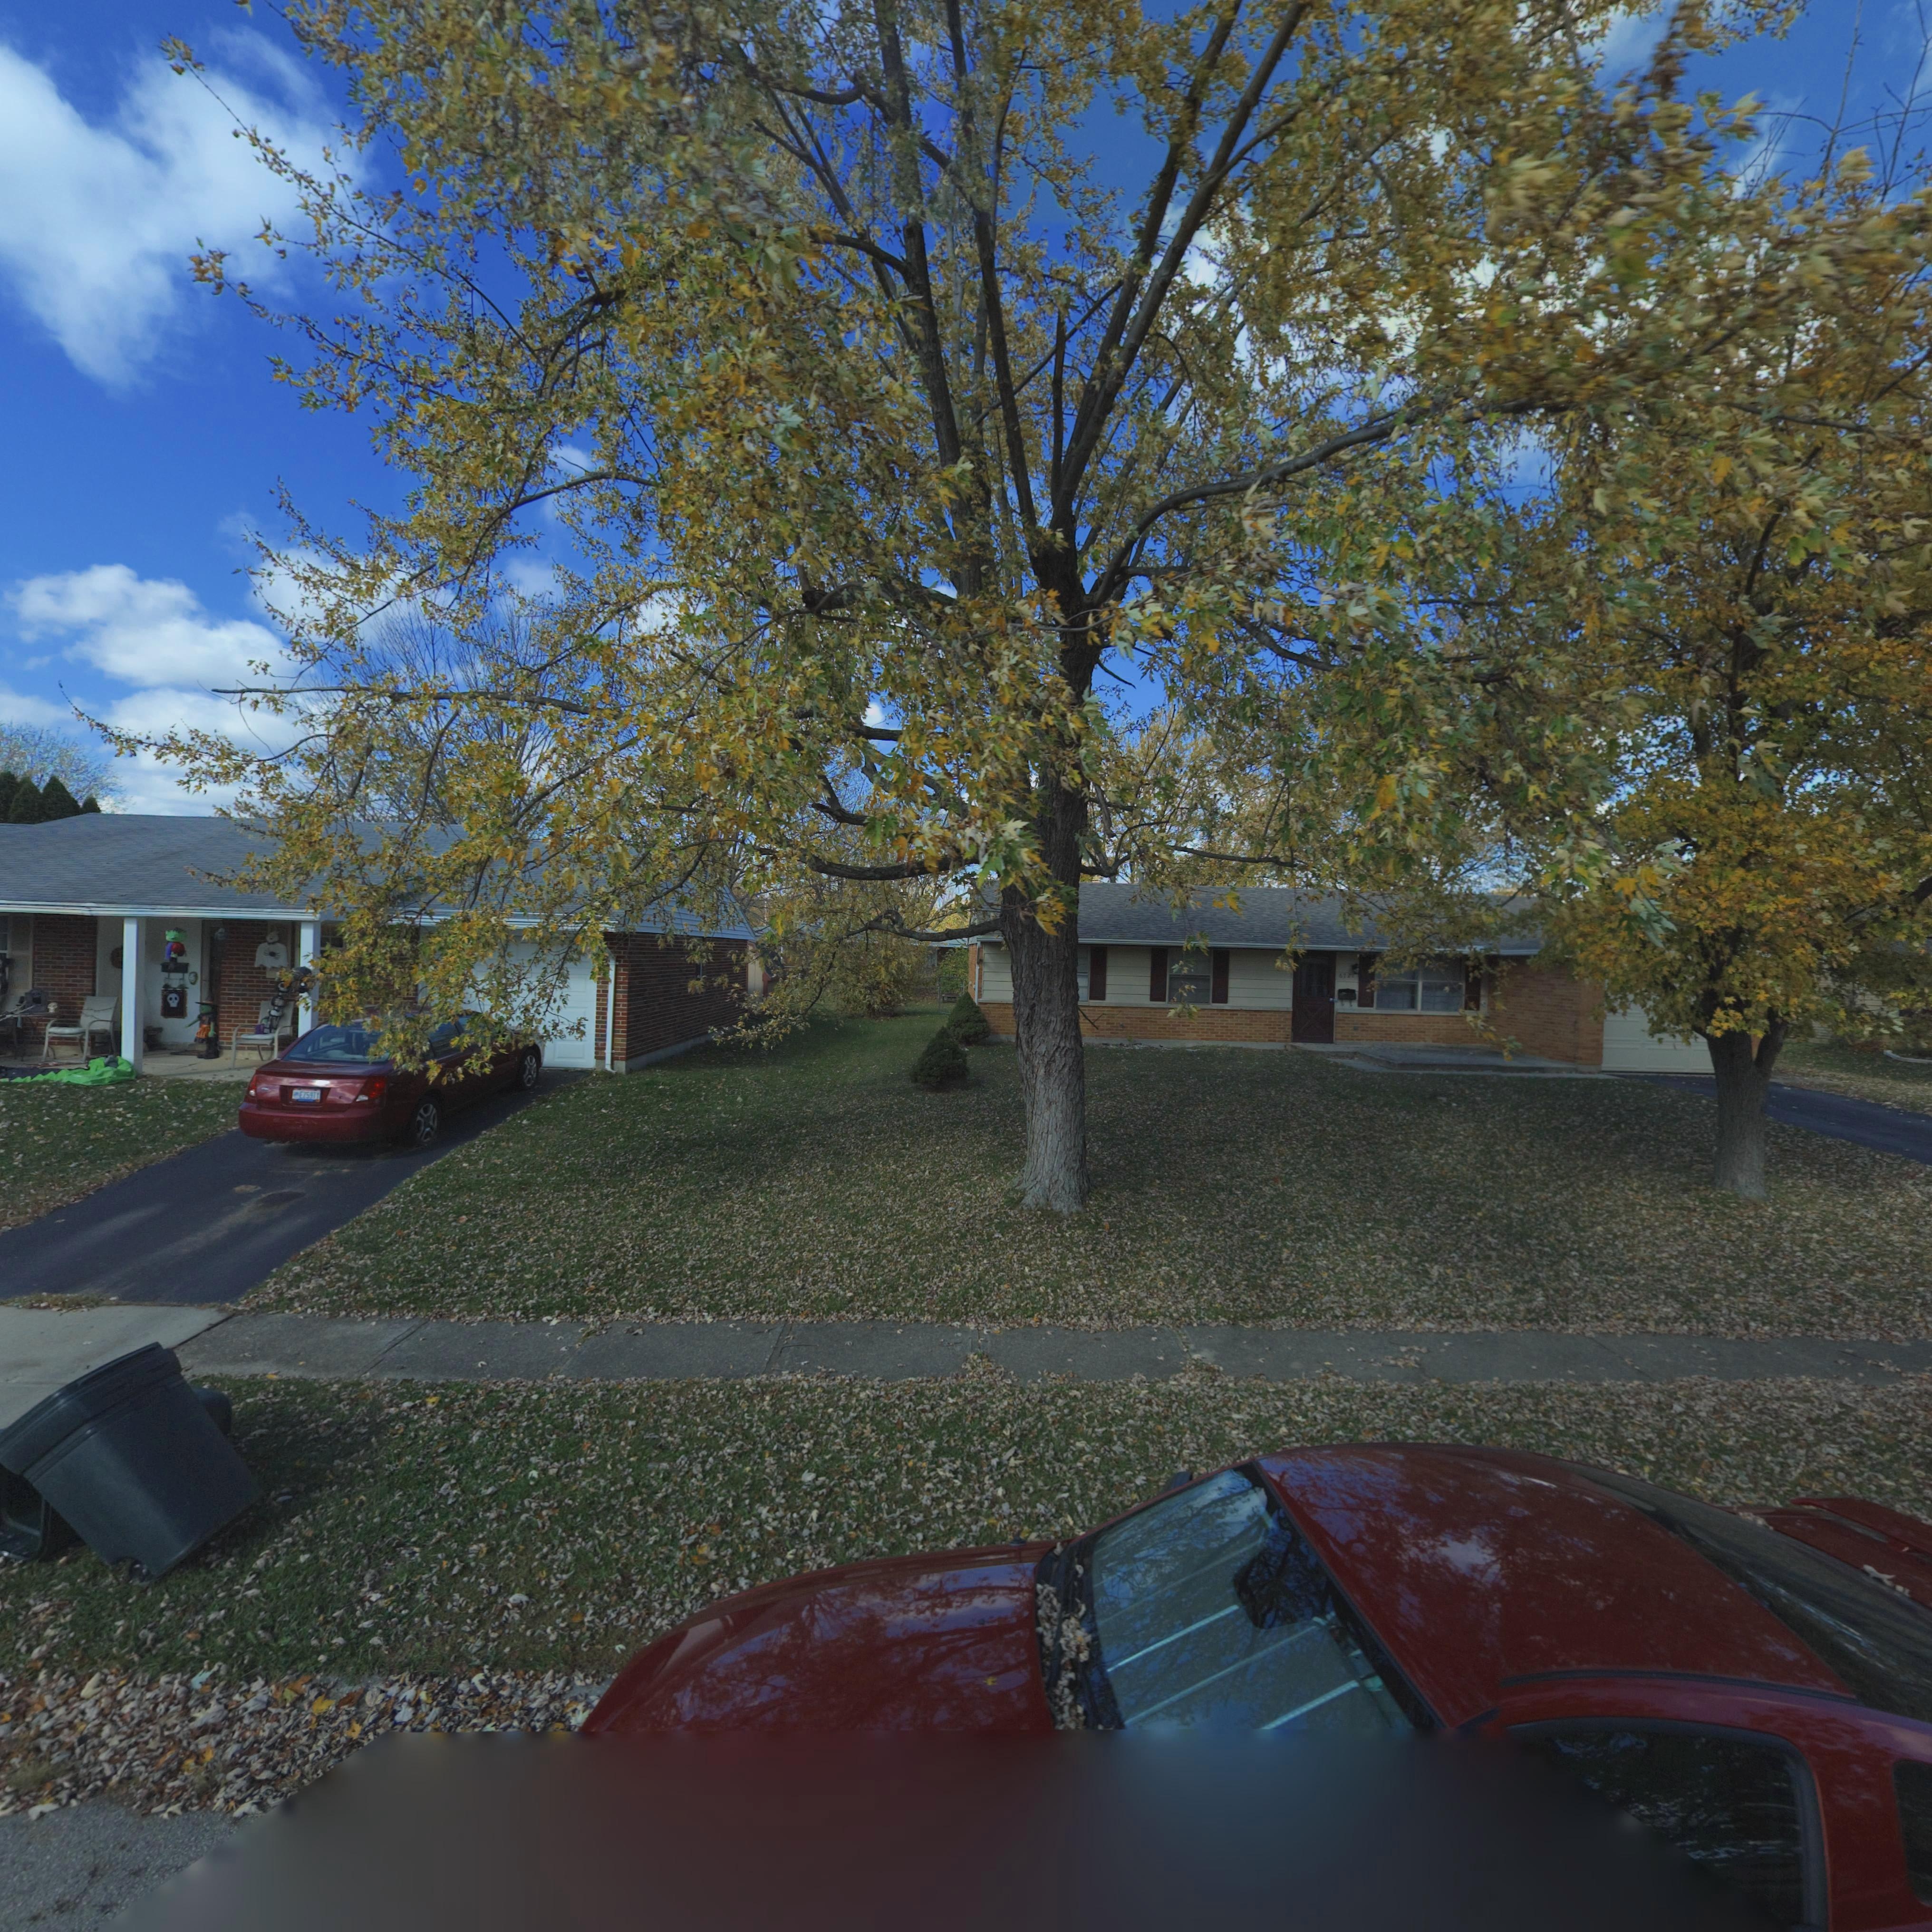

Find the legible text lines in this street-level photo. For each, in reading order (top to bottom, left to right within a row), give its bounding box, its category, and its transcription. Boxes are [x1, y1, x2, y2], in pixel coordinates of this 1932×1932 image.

[1338, 973, 1355, 979] StreetNumber: 6721